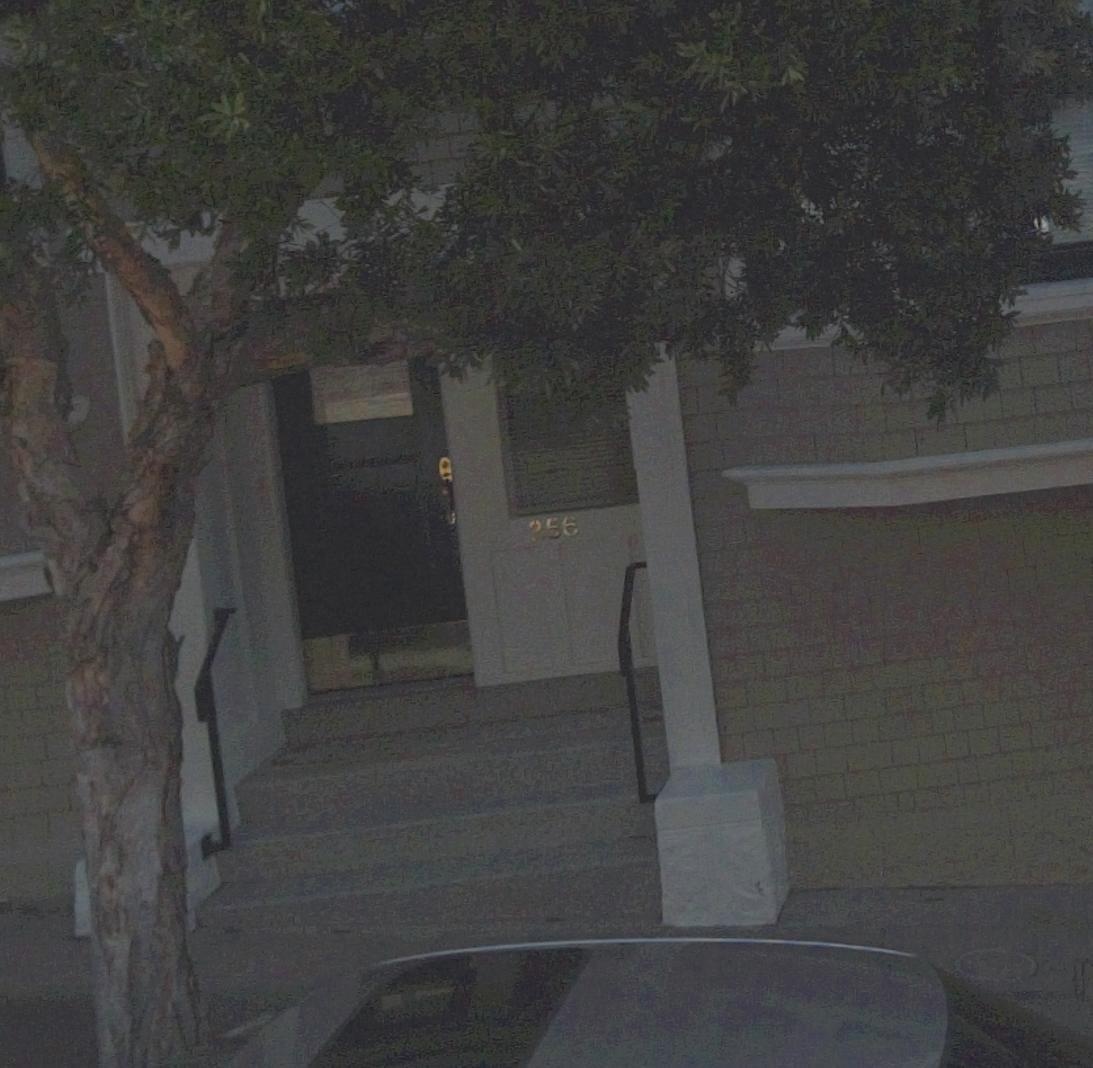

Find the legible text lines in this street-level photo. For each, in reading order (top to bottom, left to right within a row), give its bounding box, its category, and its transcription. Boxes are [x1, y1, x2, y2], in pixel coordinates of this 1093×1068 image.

[527, 512, 581, 544] StreetNumber: 256